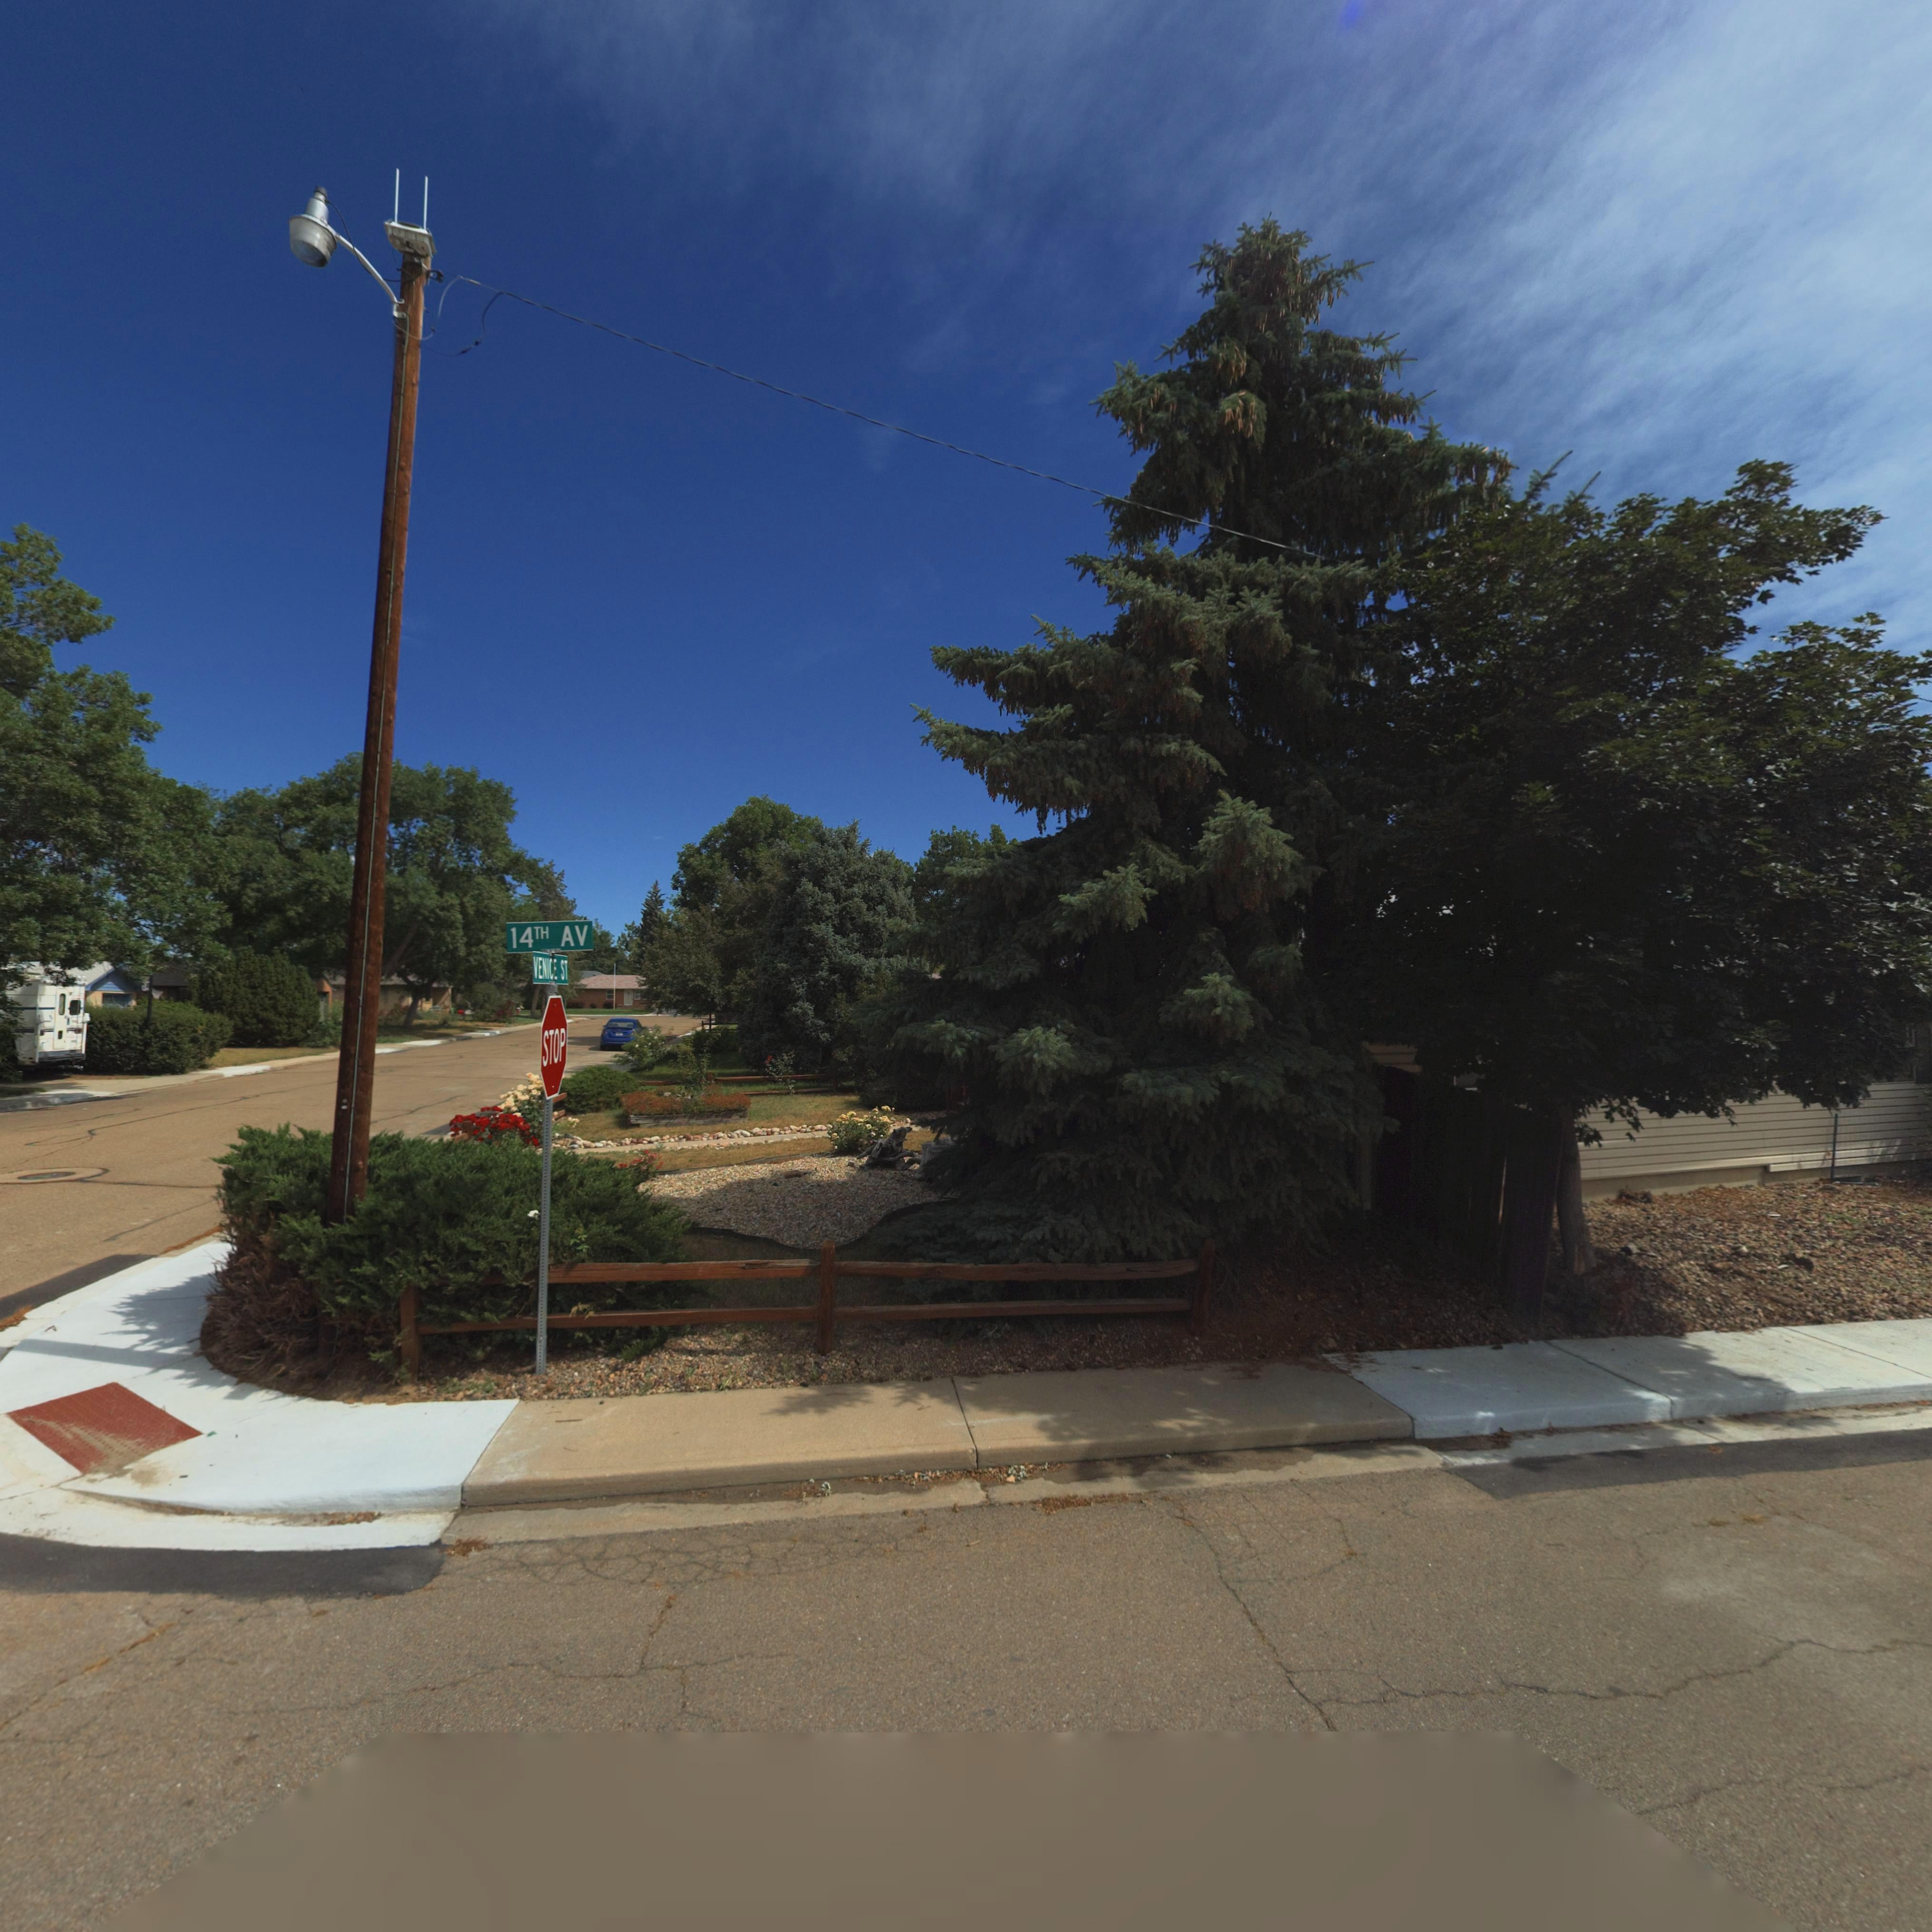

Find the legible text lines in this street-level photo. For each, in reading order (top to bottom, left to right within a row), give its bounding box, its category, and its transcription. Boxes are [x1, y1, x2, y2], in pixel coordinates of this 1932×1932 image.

[510, 924, 589, 948] StreetName: 14TH AV
[533, 956, 568, 980] StreetName: VENICE ST